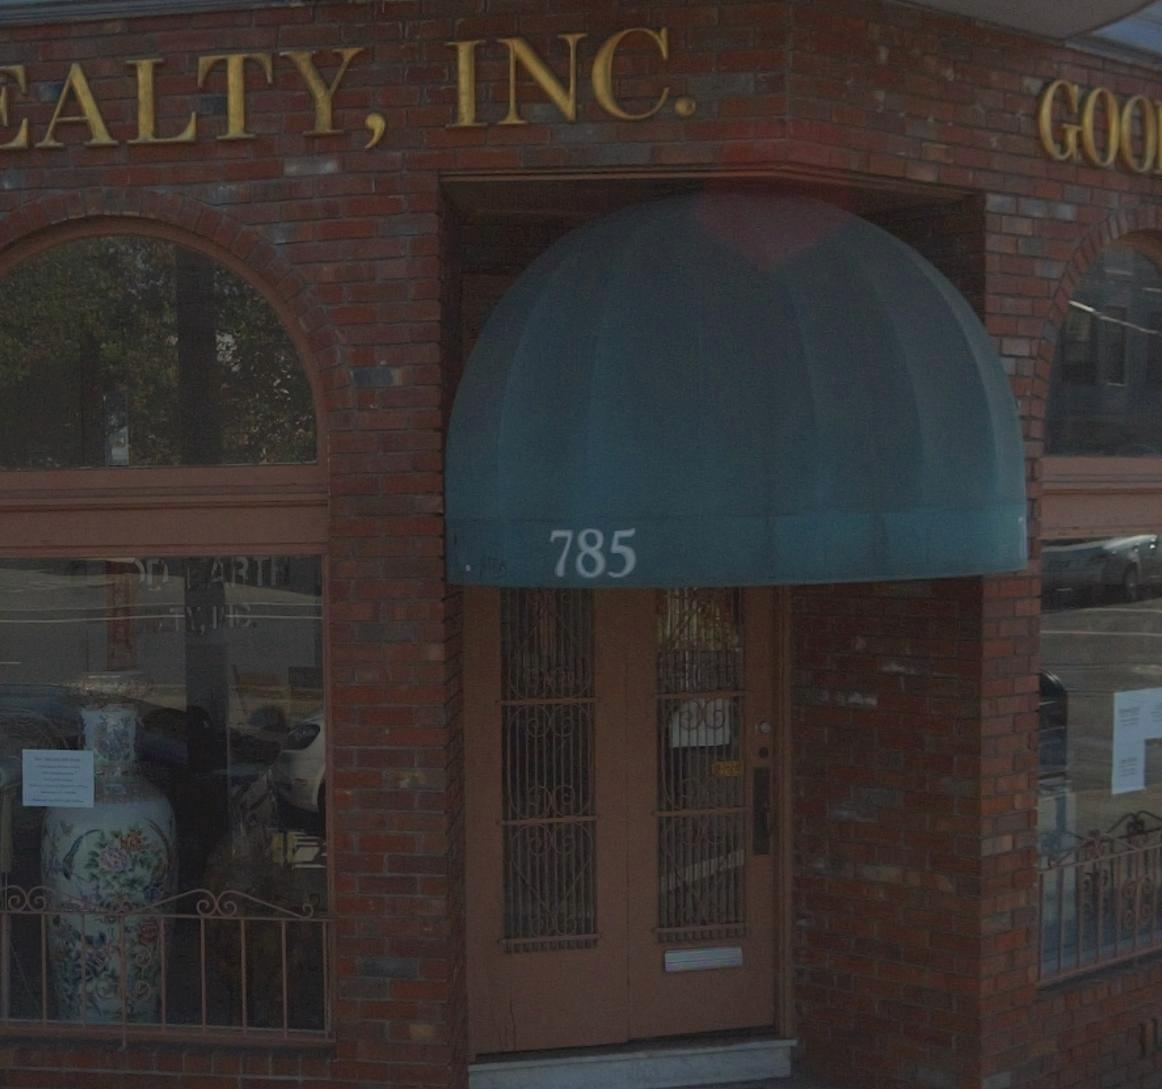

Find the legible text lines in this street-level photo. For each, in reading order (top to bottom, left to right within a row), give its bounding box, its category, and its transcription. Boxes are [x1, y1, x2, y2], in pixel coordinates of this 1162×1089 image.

[31, 20, 706, 154] BusinessName: ALTY, INC.
[1034, 70, 1158, 179] BusinessName: GOO
[144, 553, 294, 590] BusinessName: D EARTH
[547, 525, 638, 581] StreetNumber: 785
[166, 600, 257, 637] BusinessName: TY, INC